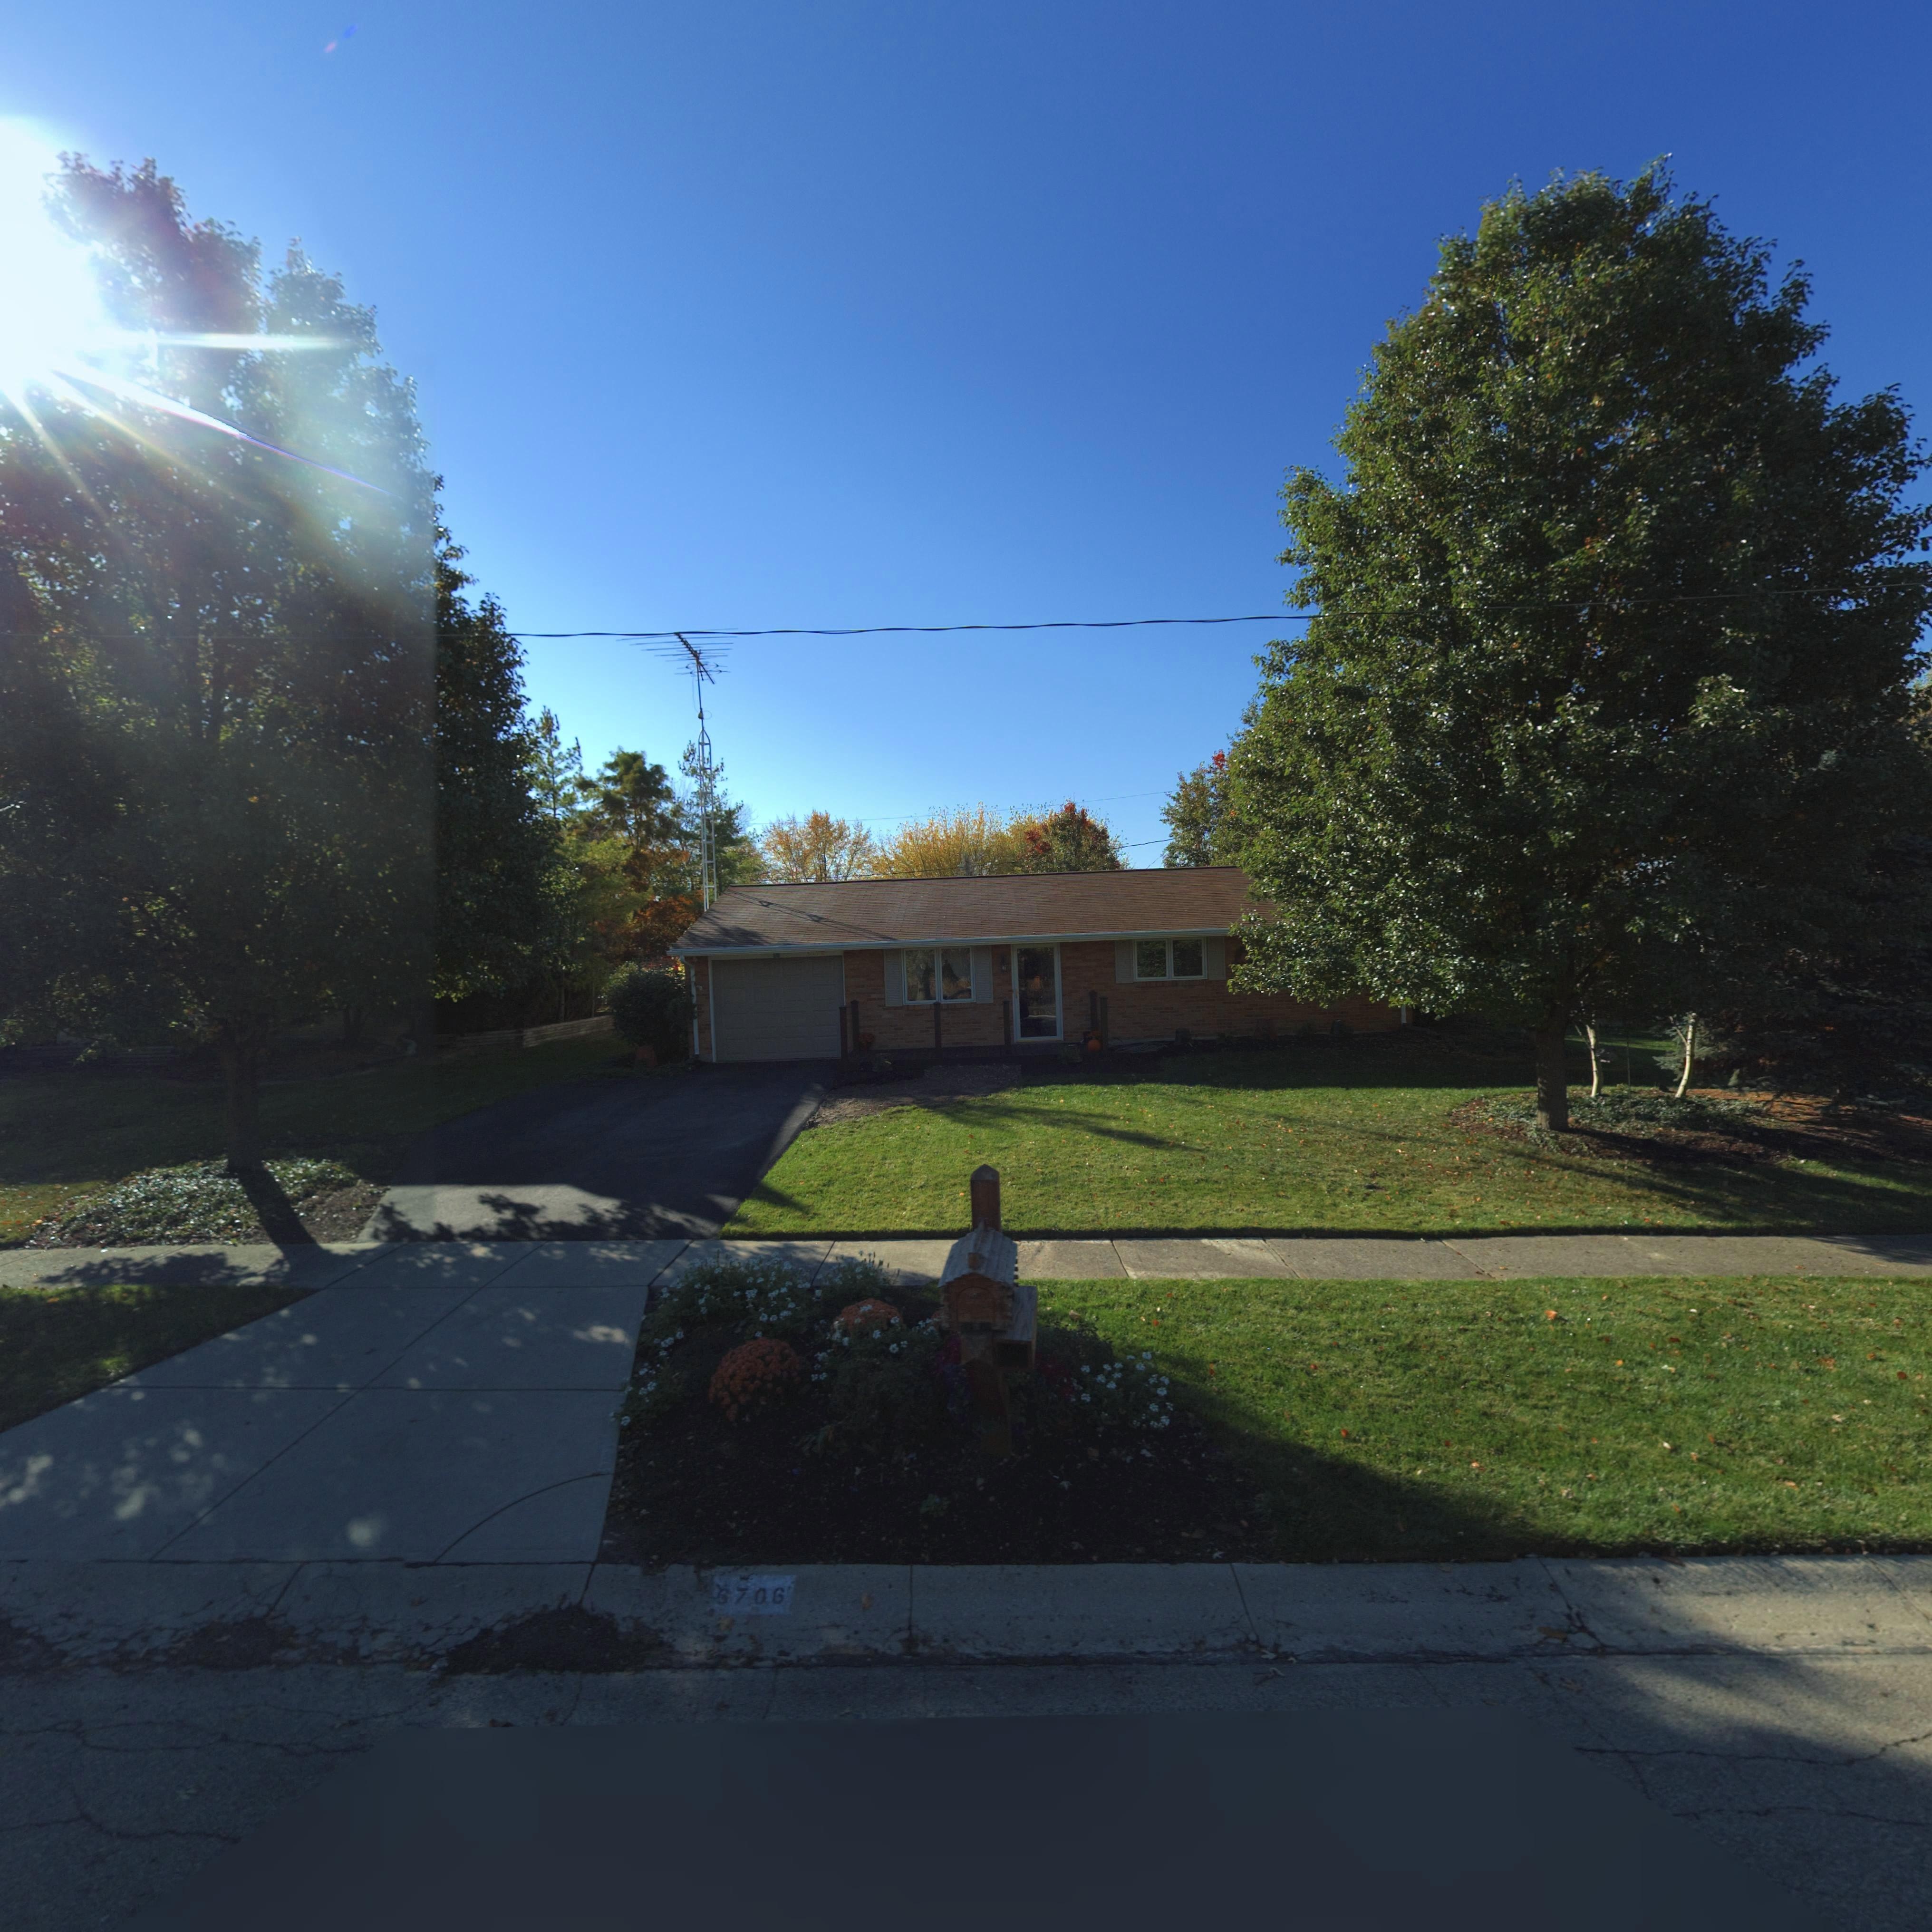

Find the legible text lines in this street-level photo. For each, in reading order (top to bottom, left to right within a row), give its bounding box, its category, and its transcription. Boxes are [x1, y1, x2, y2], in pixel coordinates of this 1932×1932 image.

[713, 1584, 787, 1608] StreetNumber: 6706